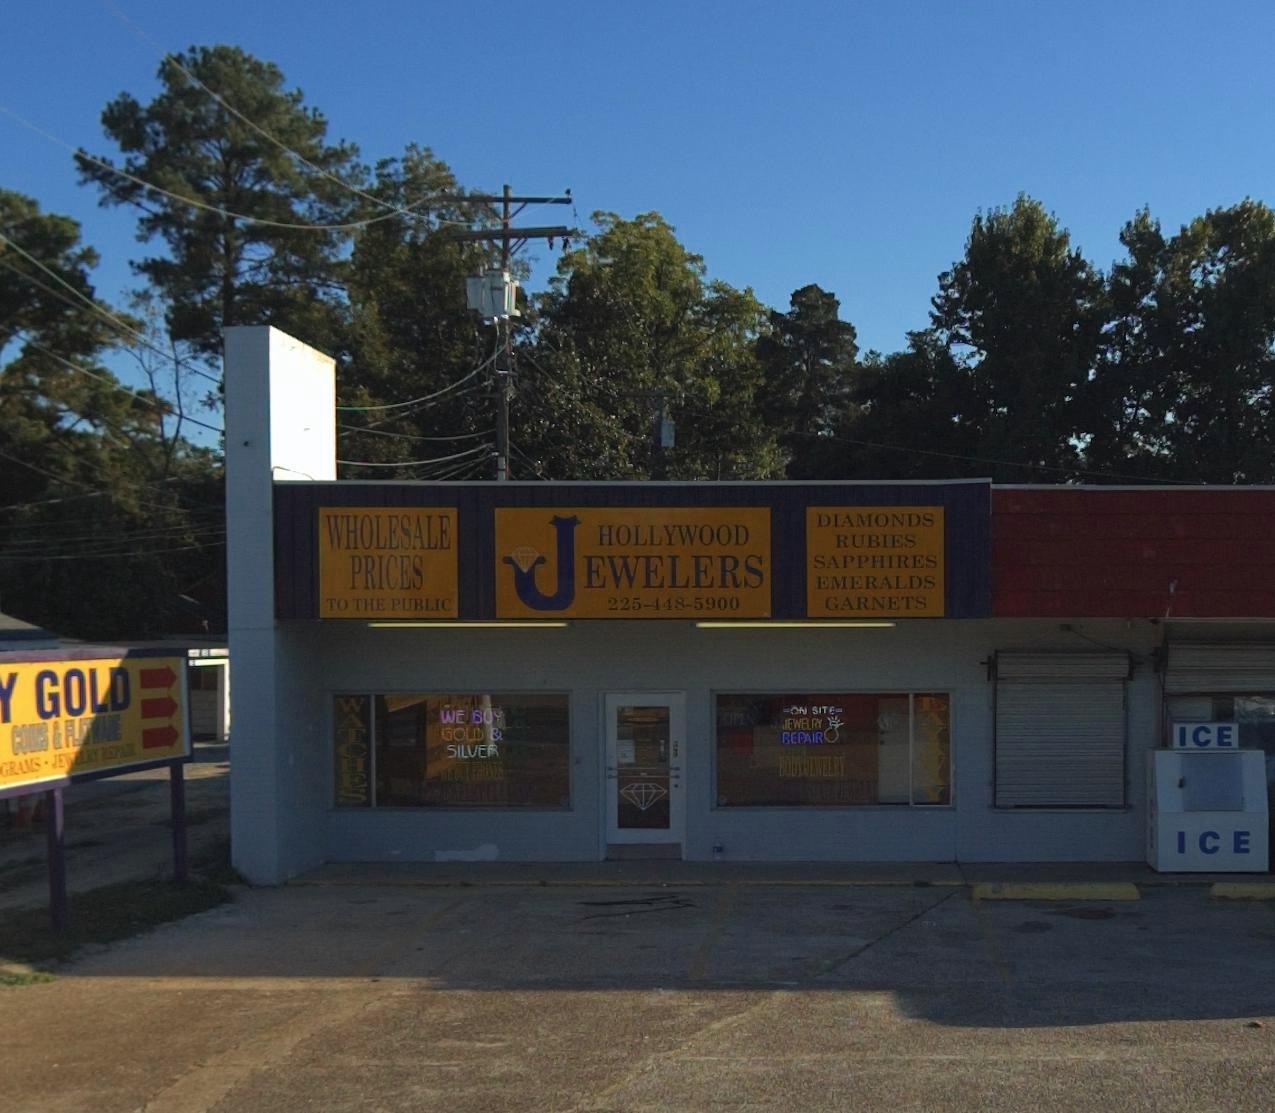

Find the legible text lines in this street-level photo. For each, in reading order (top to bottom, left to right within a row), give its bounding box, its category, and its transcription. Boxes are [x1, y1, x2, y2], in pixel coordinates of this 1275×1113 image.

[815, 512, 935, 529] None: DIAMONDS
[325, 513, 452, 551] None: WHOLESALE
[596, 523, 751, 547] BusinessName: HOLLYWOOD
[833, 533, 917, 549] None: RUBIES
[500, 513, 765, 612] BusinessName: JEWELERS
[812, 553, 939, 569] None: SAPPHIRES
[349, 553, 424, 591] None: PRICES
[815, 575, 937, 591] None: EMERALDS
[325, 596, 453, 613] None: TO THE PUBLIC
[607, 596, 741, 612] None: 225-448-5900
[824, 594, 928, 611] None: GARNETS
[35, 664, 133, 721] None: GOLD
[439, 708, 504, 725] None: WE BUY
[720, 711, 756, 727] None: OPEN
[781, 717, 823, 731] None: JEWELRY
[790, 705, 836, 716] None: ON SITE
[9, 712, 126, 757] None: COINS & FLATWARE
[440, 726, 504, 742] None: GOLD &
[782, 731, 824, 744] None: REPAIR
[1178, 725, 1233, 747] None: ICE
[337, 696, 369, 805] None: WATCHES
[446, 744, 500, 759] None: SILVER
[915, 695, 949, 804] None: LAYAWAY
[0, 740, 137, 781] None: GRAMS - JEWELRY REPAIR
[778, 754, 846, 778] None: BODYJEWELRY
[1176, 829, 1251, 855] None: ICE